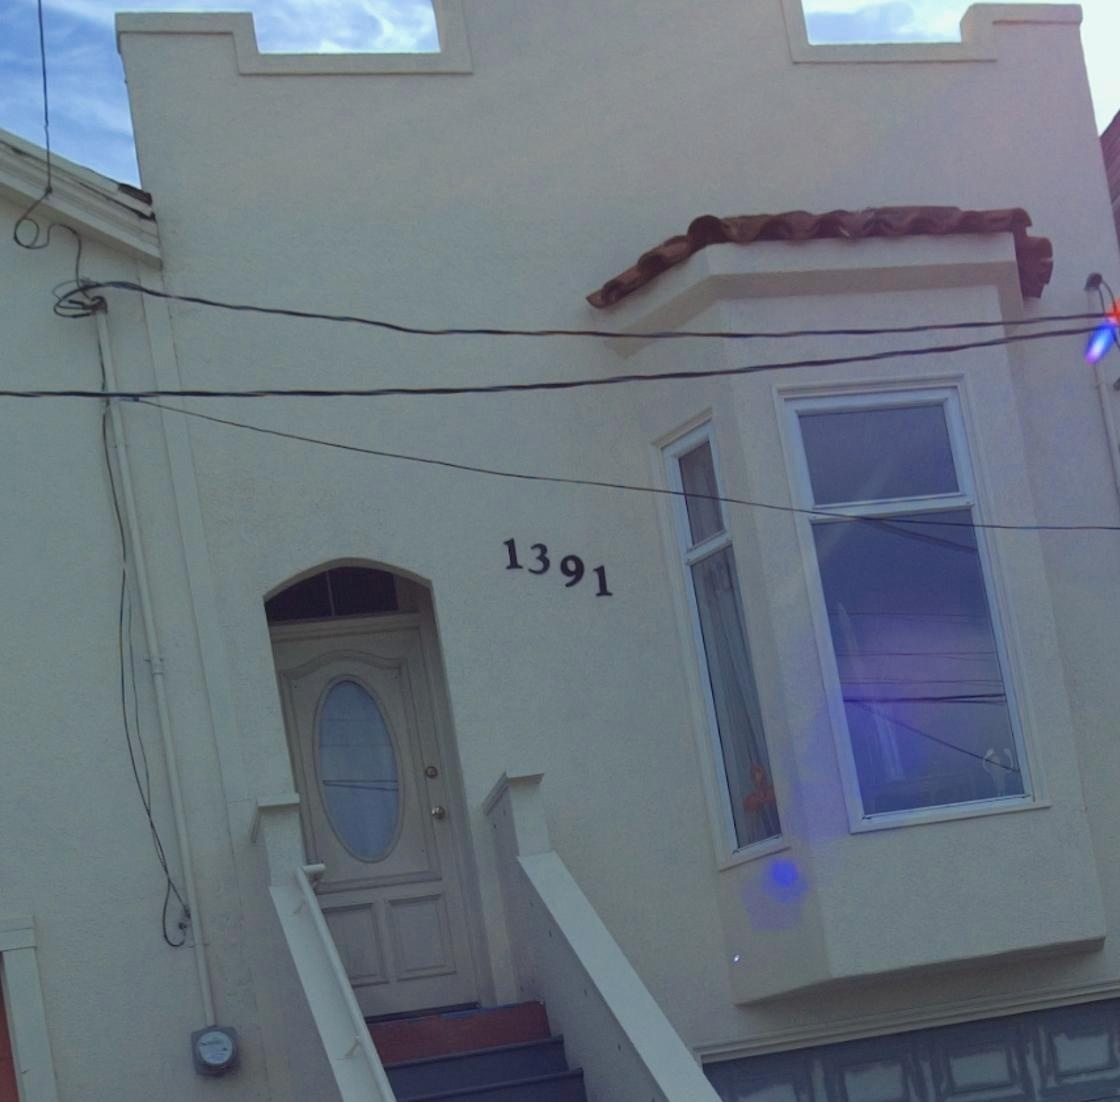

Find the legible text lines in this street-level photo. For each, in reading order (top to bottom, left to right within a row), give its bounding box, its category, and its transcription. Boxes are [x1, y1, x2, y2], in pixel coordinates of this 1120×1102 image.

[500, 536, 615, 604] StreetNumber: 1391